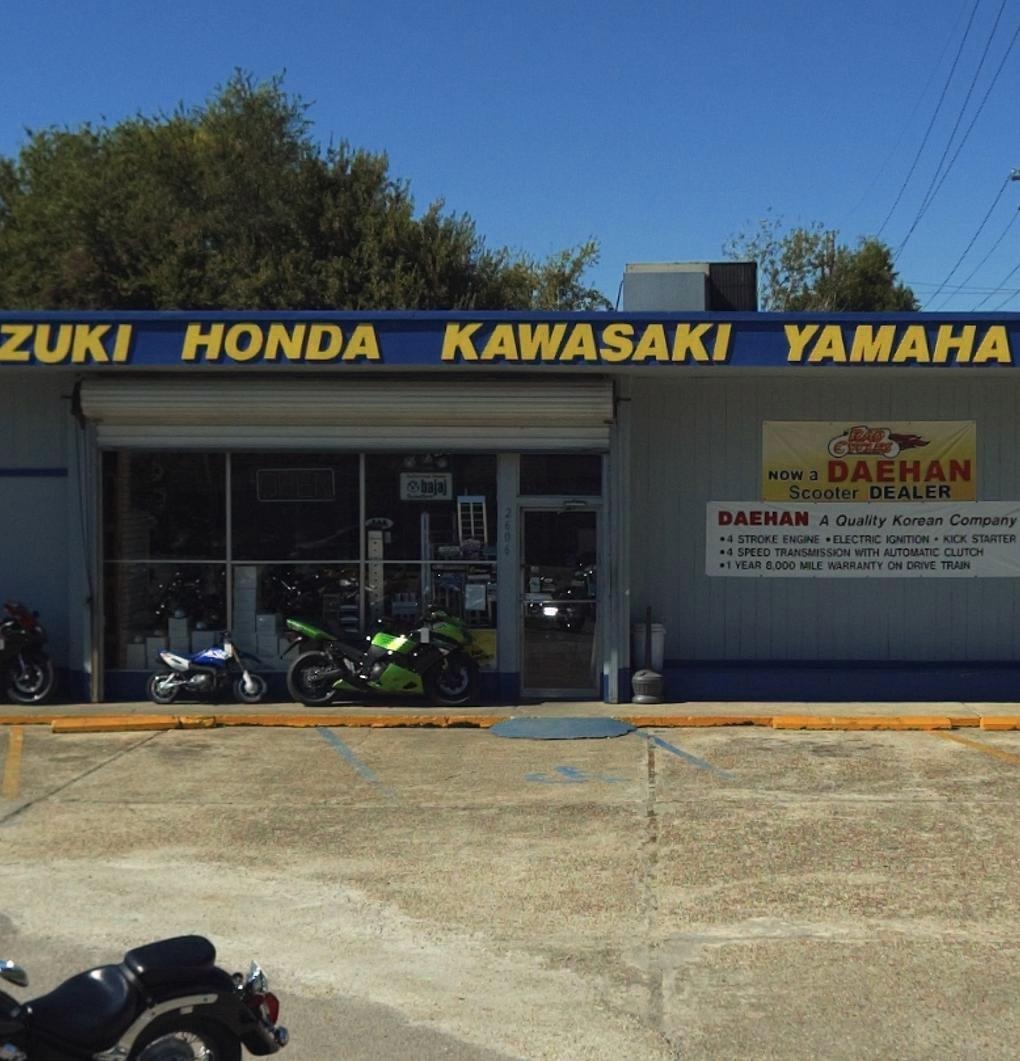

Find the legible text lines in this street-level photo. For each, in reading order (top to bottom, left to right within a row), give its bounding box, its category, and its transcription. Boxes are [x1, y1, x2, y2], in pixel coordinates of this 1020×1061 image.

[0, 323, 1013, 365] None: ZUKI HONDA KAWASAKI YAHAMA
[846, 425, 889, 443] BusinessName: RAD
[832, 438, 896, 456] BusinessName: CYCLES
[768, 459, 972, 483] None: NOW a DAEHAN
[258, 470, 334, 500] None: OPEN
[420, 478, 447, 497] None: bajaj
[789, 483, 952, 500] None: Scooter DEALER
[717, 509, 810, 528] None: DAEHAN
[817, 512, 1018, 529] None: A Quality Korean Company
[503, 506, 513, 557] StreetNumber: 2606
[725, 532, 1017, 544] None: 4 STROKE ENGINE * ELECTRIC IGNITION * KICK STARTER
[724, 545, 984, 558] None: 4 SPEED TRANSMISSION WITH AUTOMATIC CLUTCH
[724, 559, 971, 570] None: 1 YEAR 8,000 MILE WARRANTY ON DRIVE TRAIN